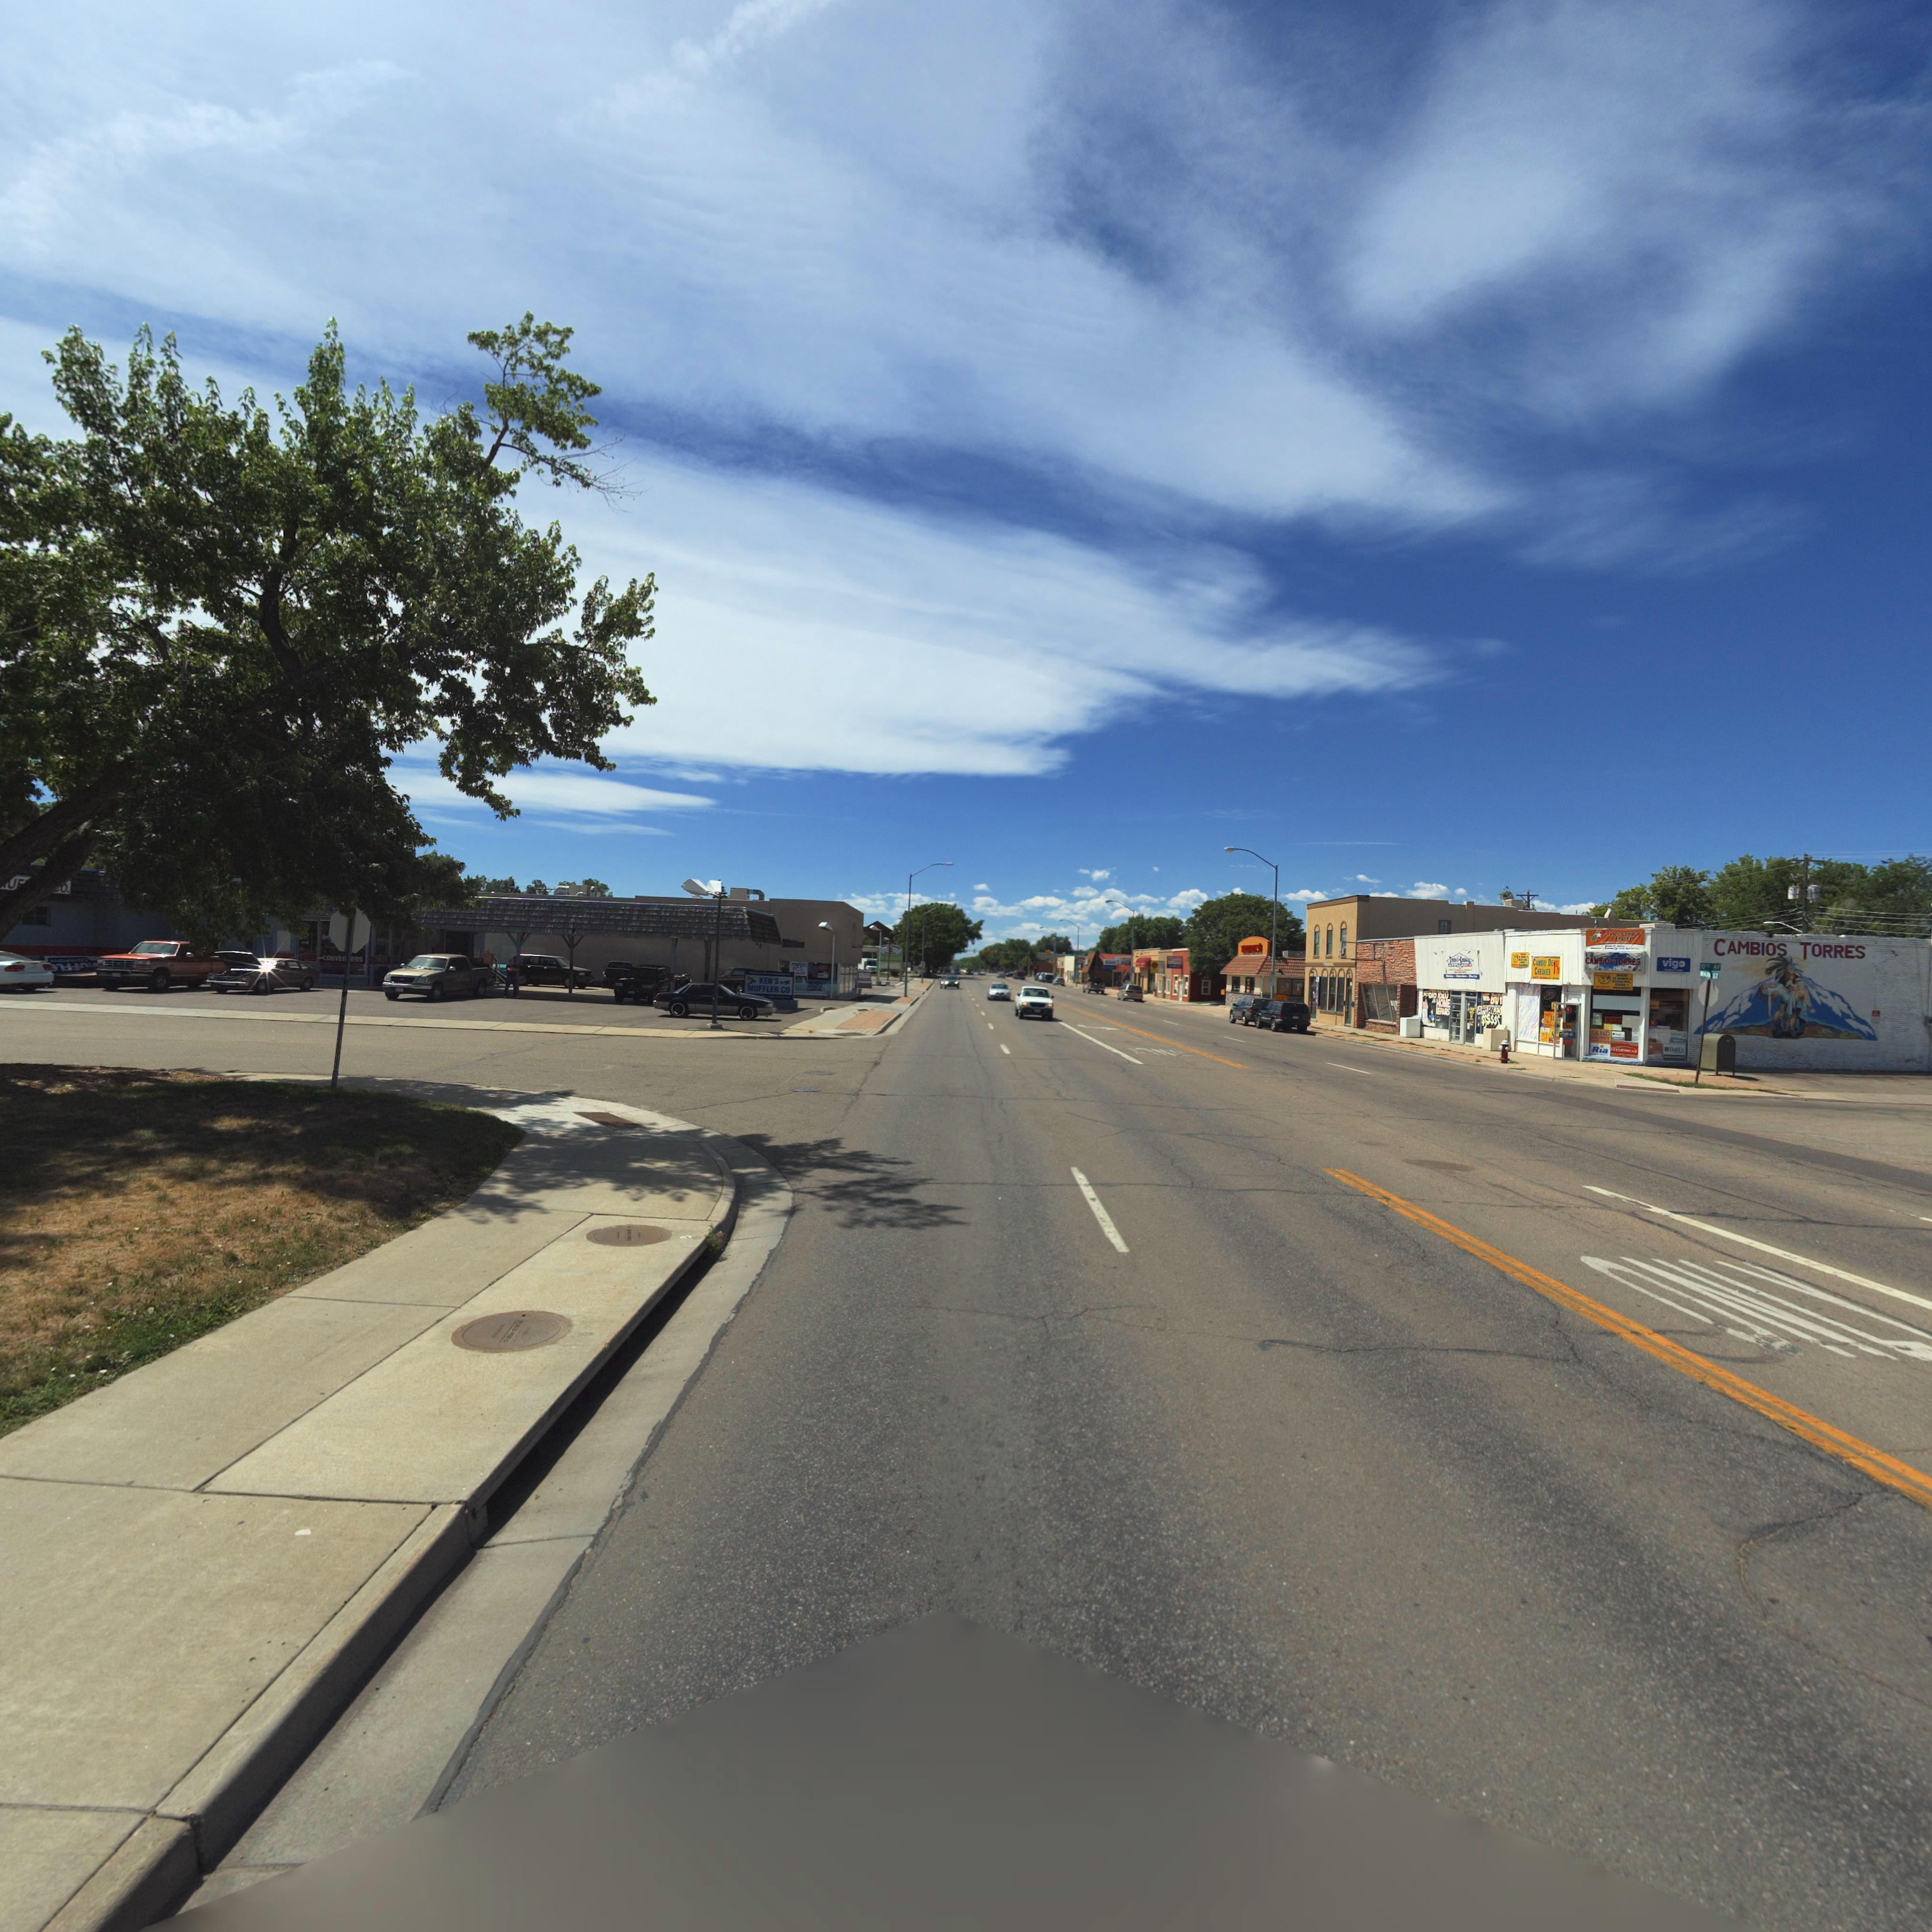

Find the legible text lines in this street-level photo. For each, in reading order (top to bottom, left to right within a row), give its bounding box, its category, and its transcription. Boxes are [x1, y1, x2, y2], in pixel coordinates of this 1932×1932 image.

[1714, 938, 1865, 960] BusinessName: CAMBIOS TORRES
[1449, 956, 1470, 964] BusinessName: T****C******
[1584, 956, 1641, 965] BusinessName: CAMBIOS TORRES
[1700, 964, 1720, 969] StreetName: 10TH AV
[1700, 970, 1718, 979] StreetName: MAIN ST
[759, 976, 779, 985] BusinessName: KEN'S
[747, 985, 790, 993] BusinessName: MUFFLER CO